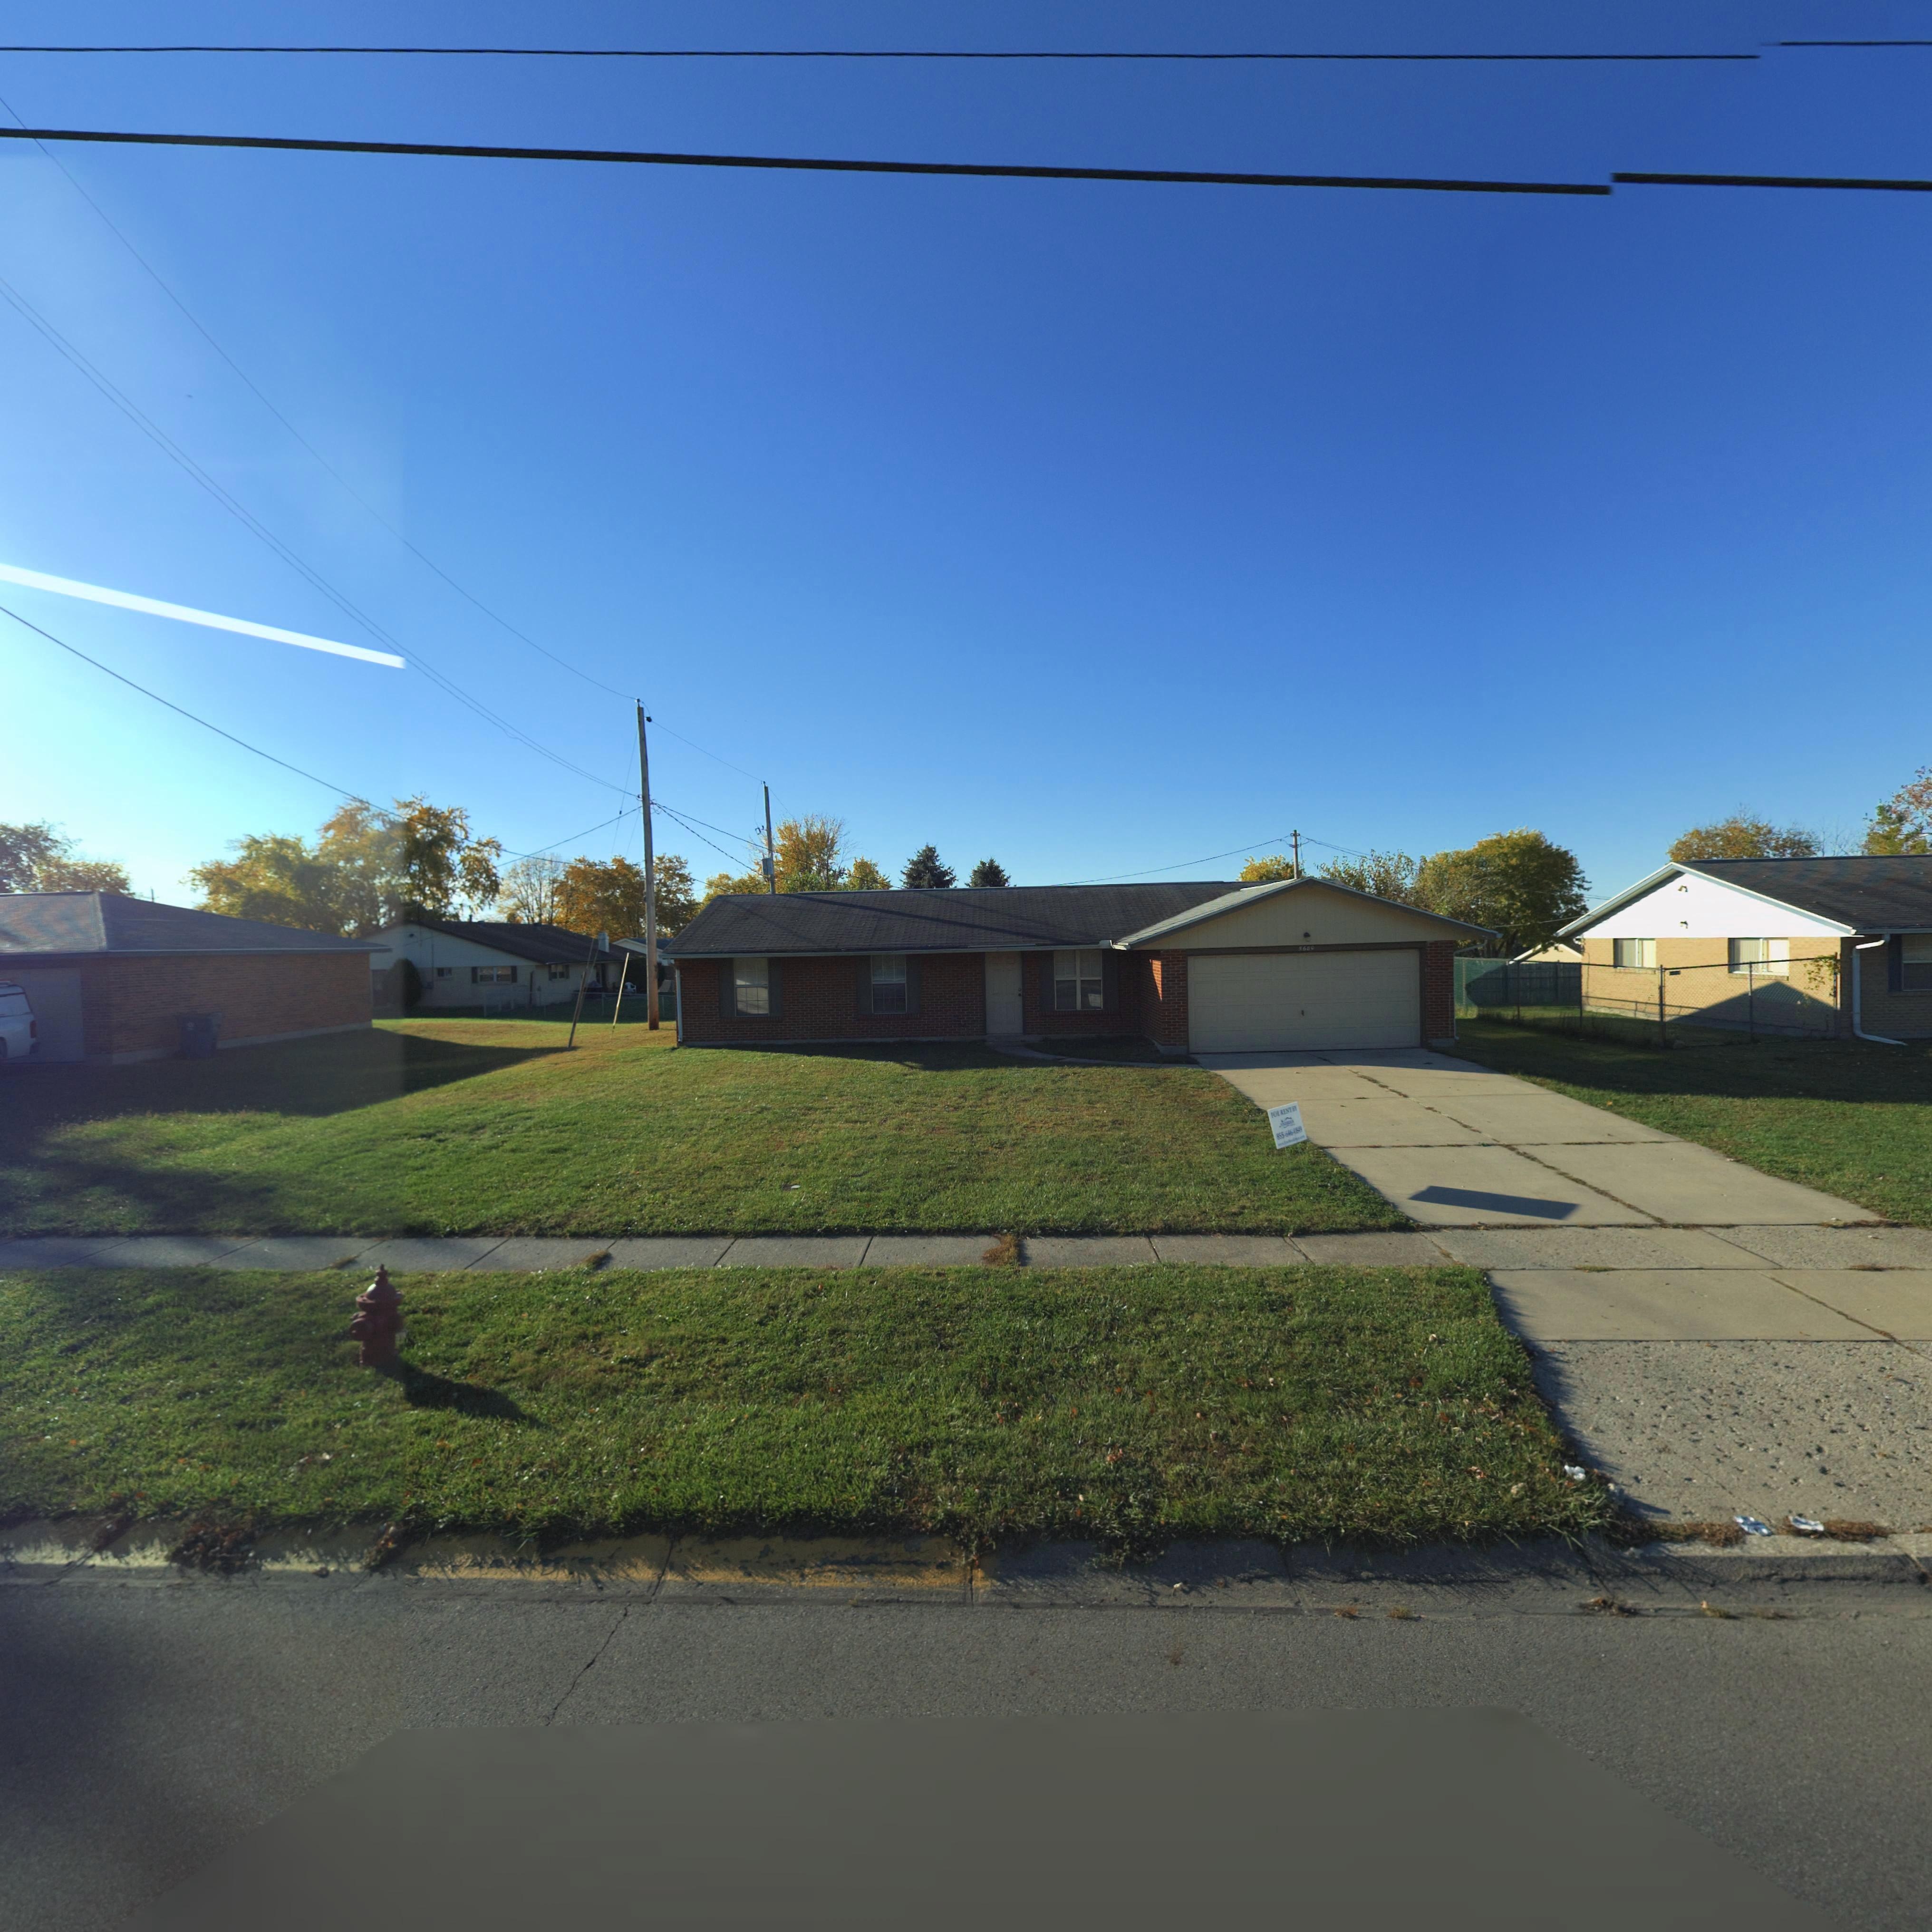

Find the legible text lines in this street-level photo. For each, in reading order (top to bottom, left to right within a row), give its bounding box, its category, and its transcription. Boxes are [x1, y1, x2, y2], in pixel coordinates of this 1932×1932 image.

[1298, 944, 1315, 952] StreetNumber: 56*0